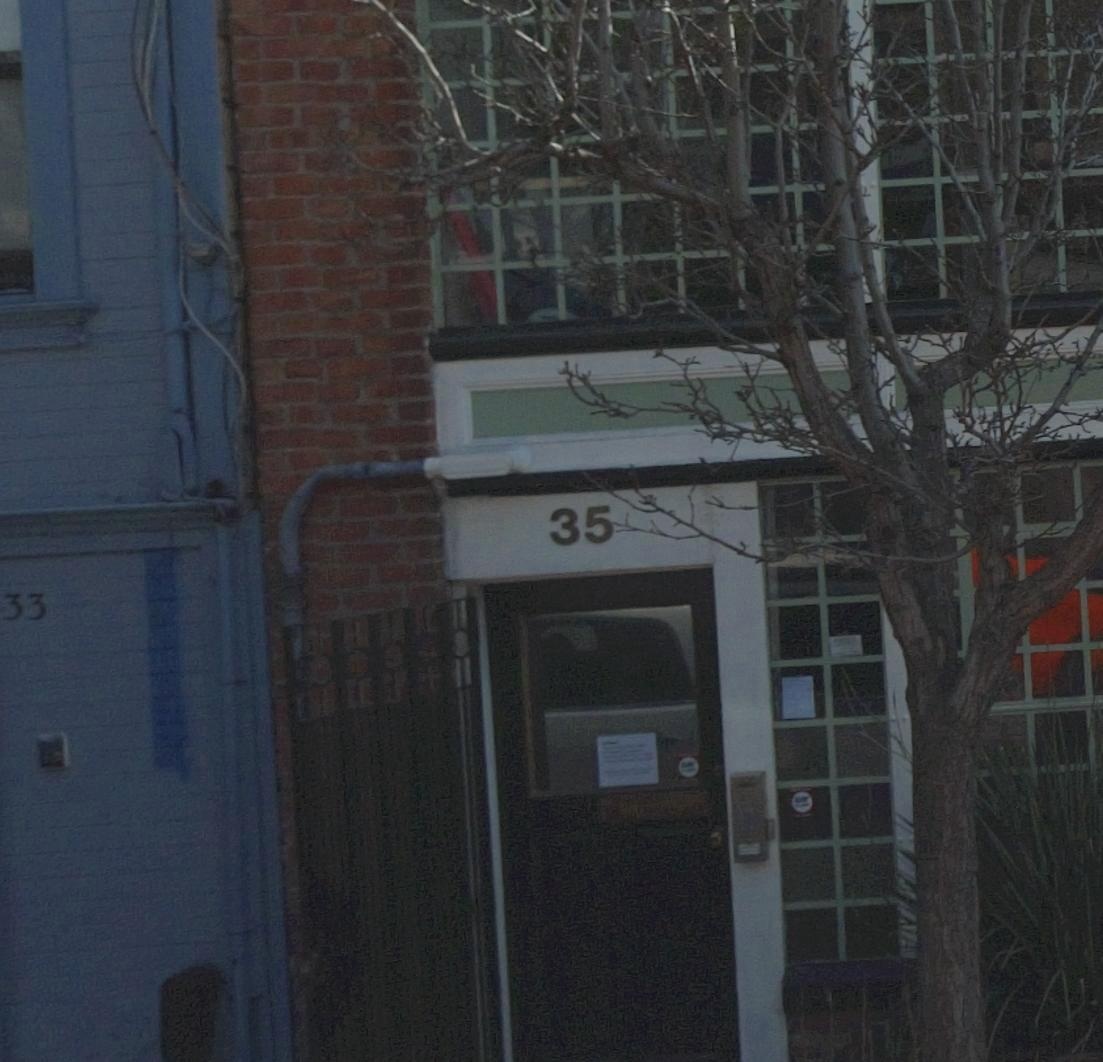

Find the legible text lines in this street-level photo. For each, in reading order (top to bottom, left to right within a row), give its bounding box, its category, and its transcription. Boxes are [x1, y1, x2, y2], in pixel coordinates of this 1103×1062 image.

[547, 501, 616, 550] StreetNumber: 35
[0, 589, 51, 624] StreetNumber: 33